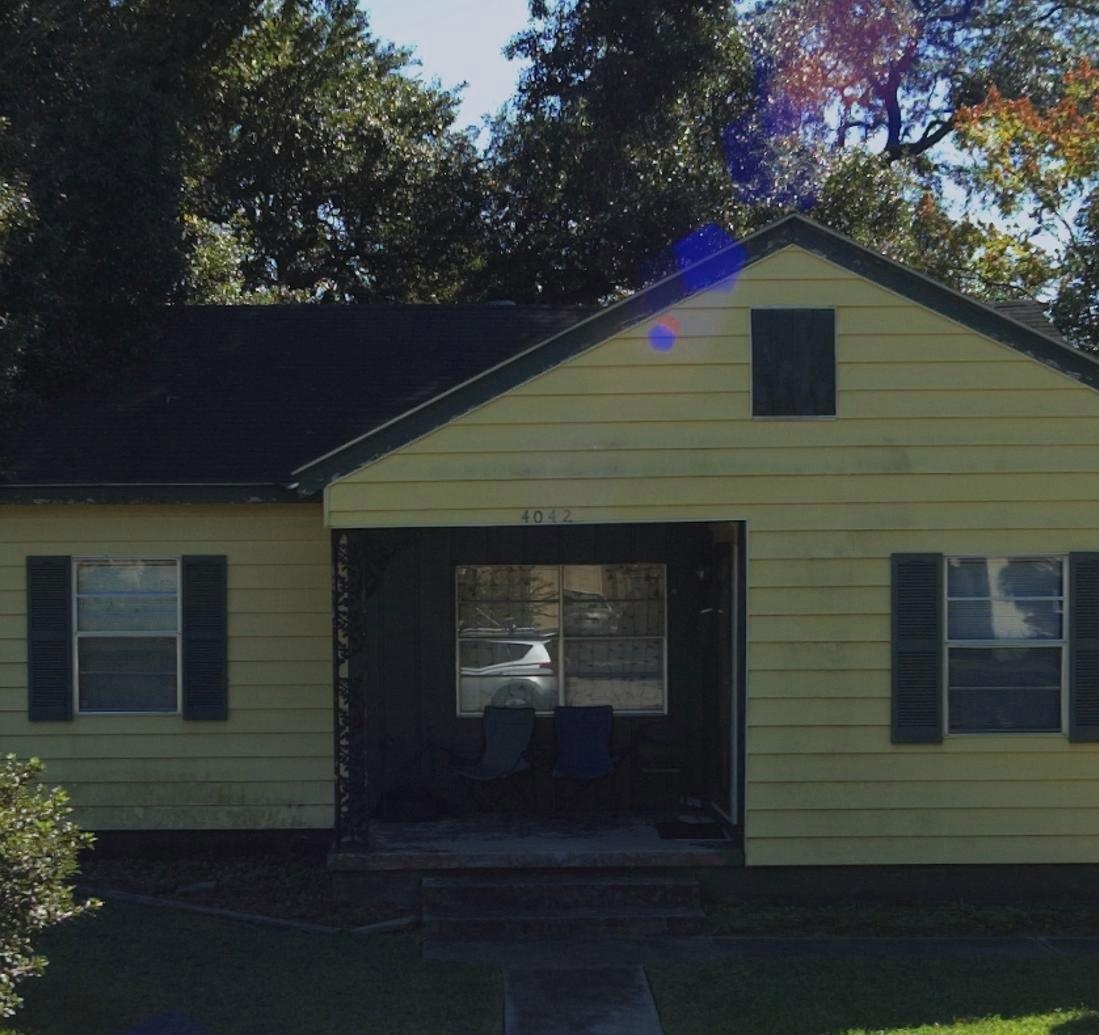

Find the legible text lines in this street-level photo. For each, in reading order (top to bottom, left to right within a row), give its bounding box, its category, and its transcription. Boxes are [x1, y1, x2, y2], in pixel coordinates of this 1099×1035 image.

[520, 508, 574, 525] StreetNumber: 4042